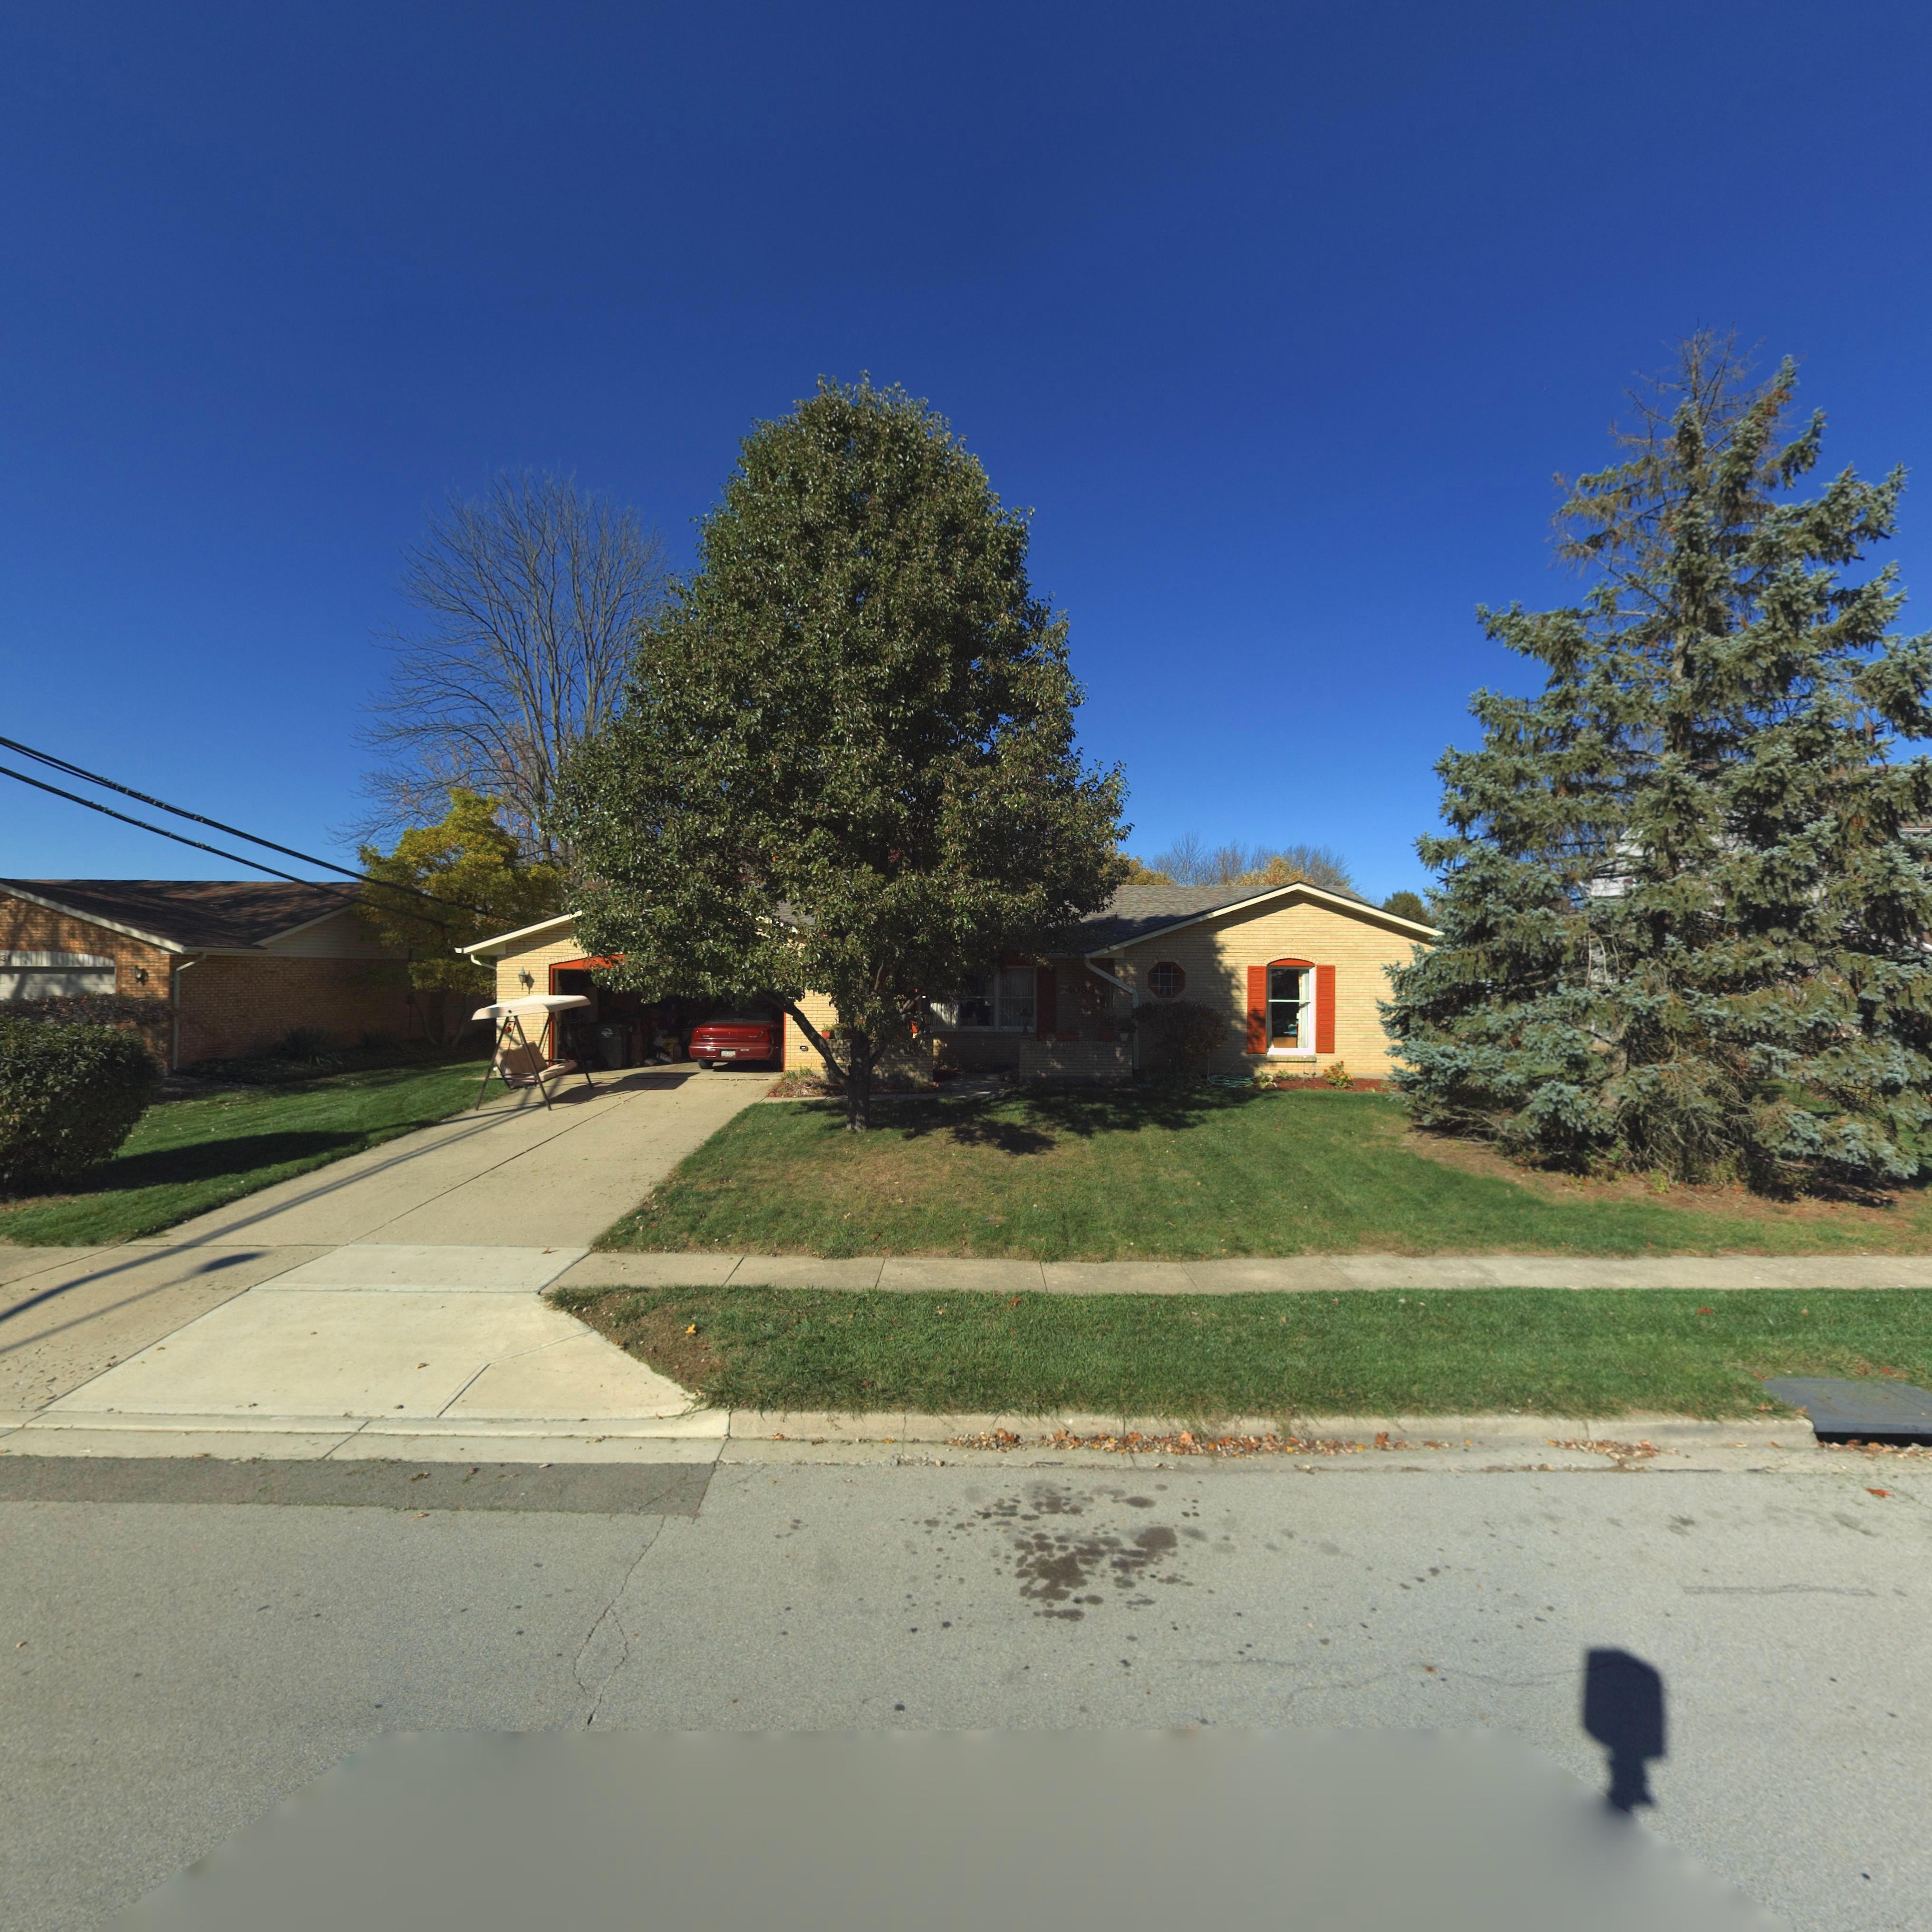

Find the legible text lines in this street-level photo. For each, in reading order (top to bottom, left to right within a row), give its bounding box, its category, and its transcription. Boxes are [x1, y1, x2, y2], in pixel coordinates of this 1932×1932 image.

[0, 954, 11, 962] StreetNumber: 31
[1065, 985, 1095, 995] StreetNumber: 4033